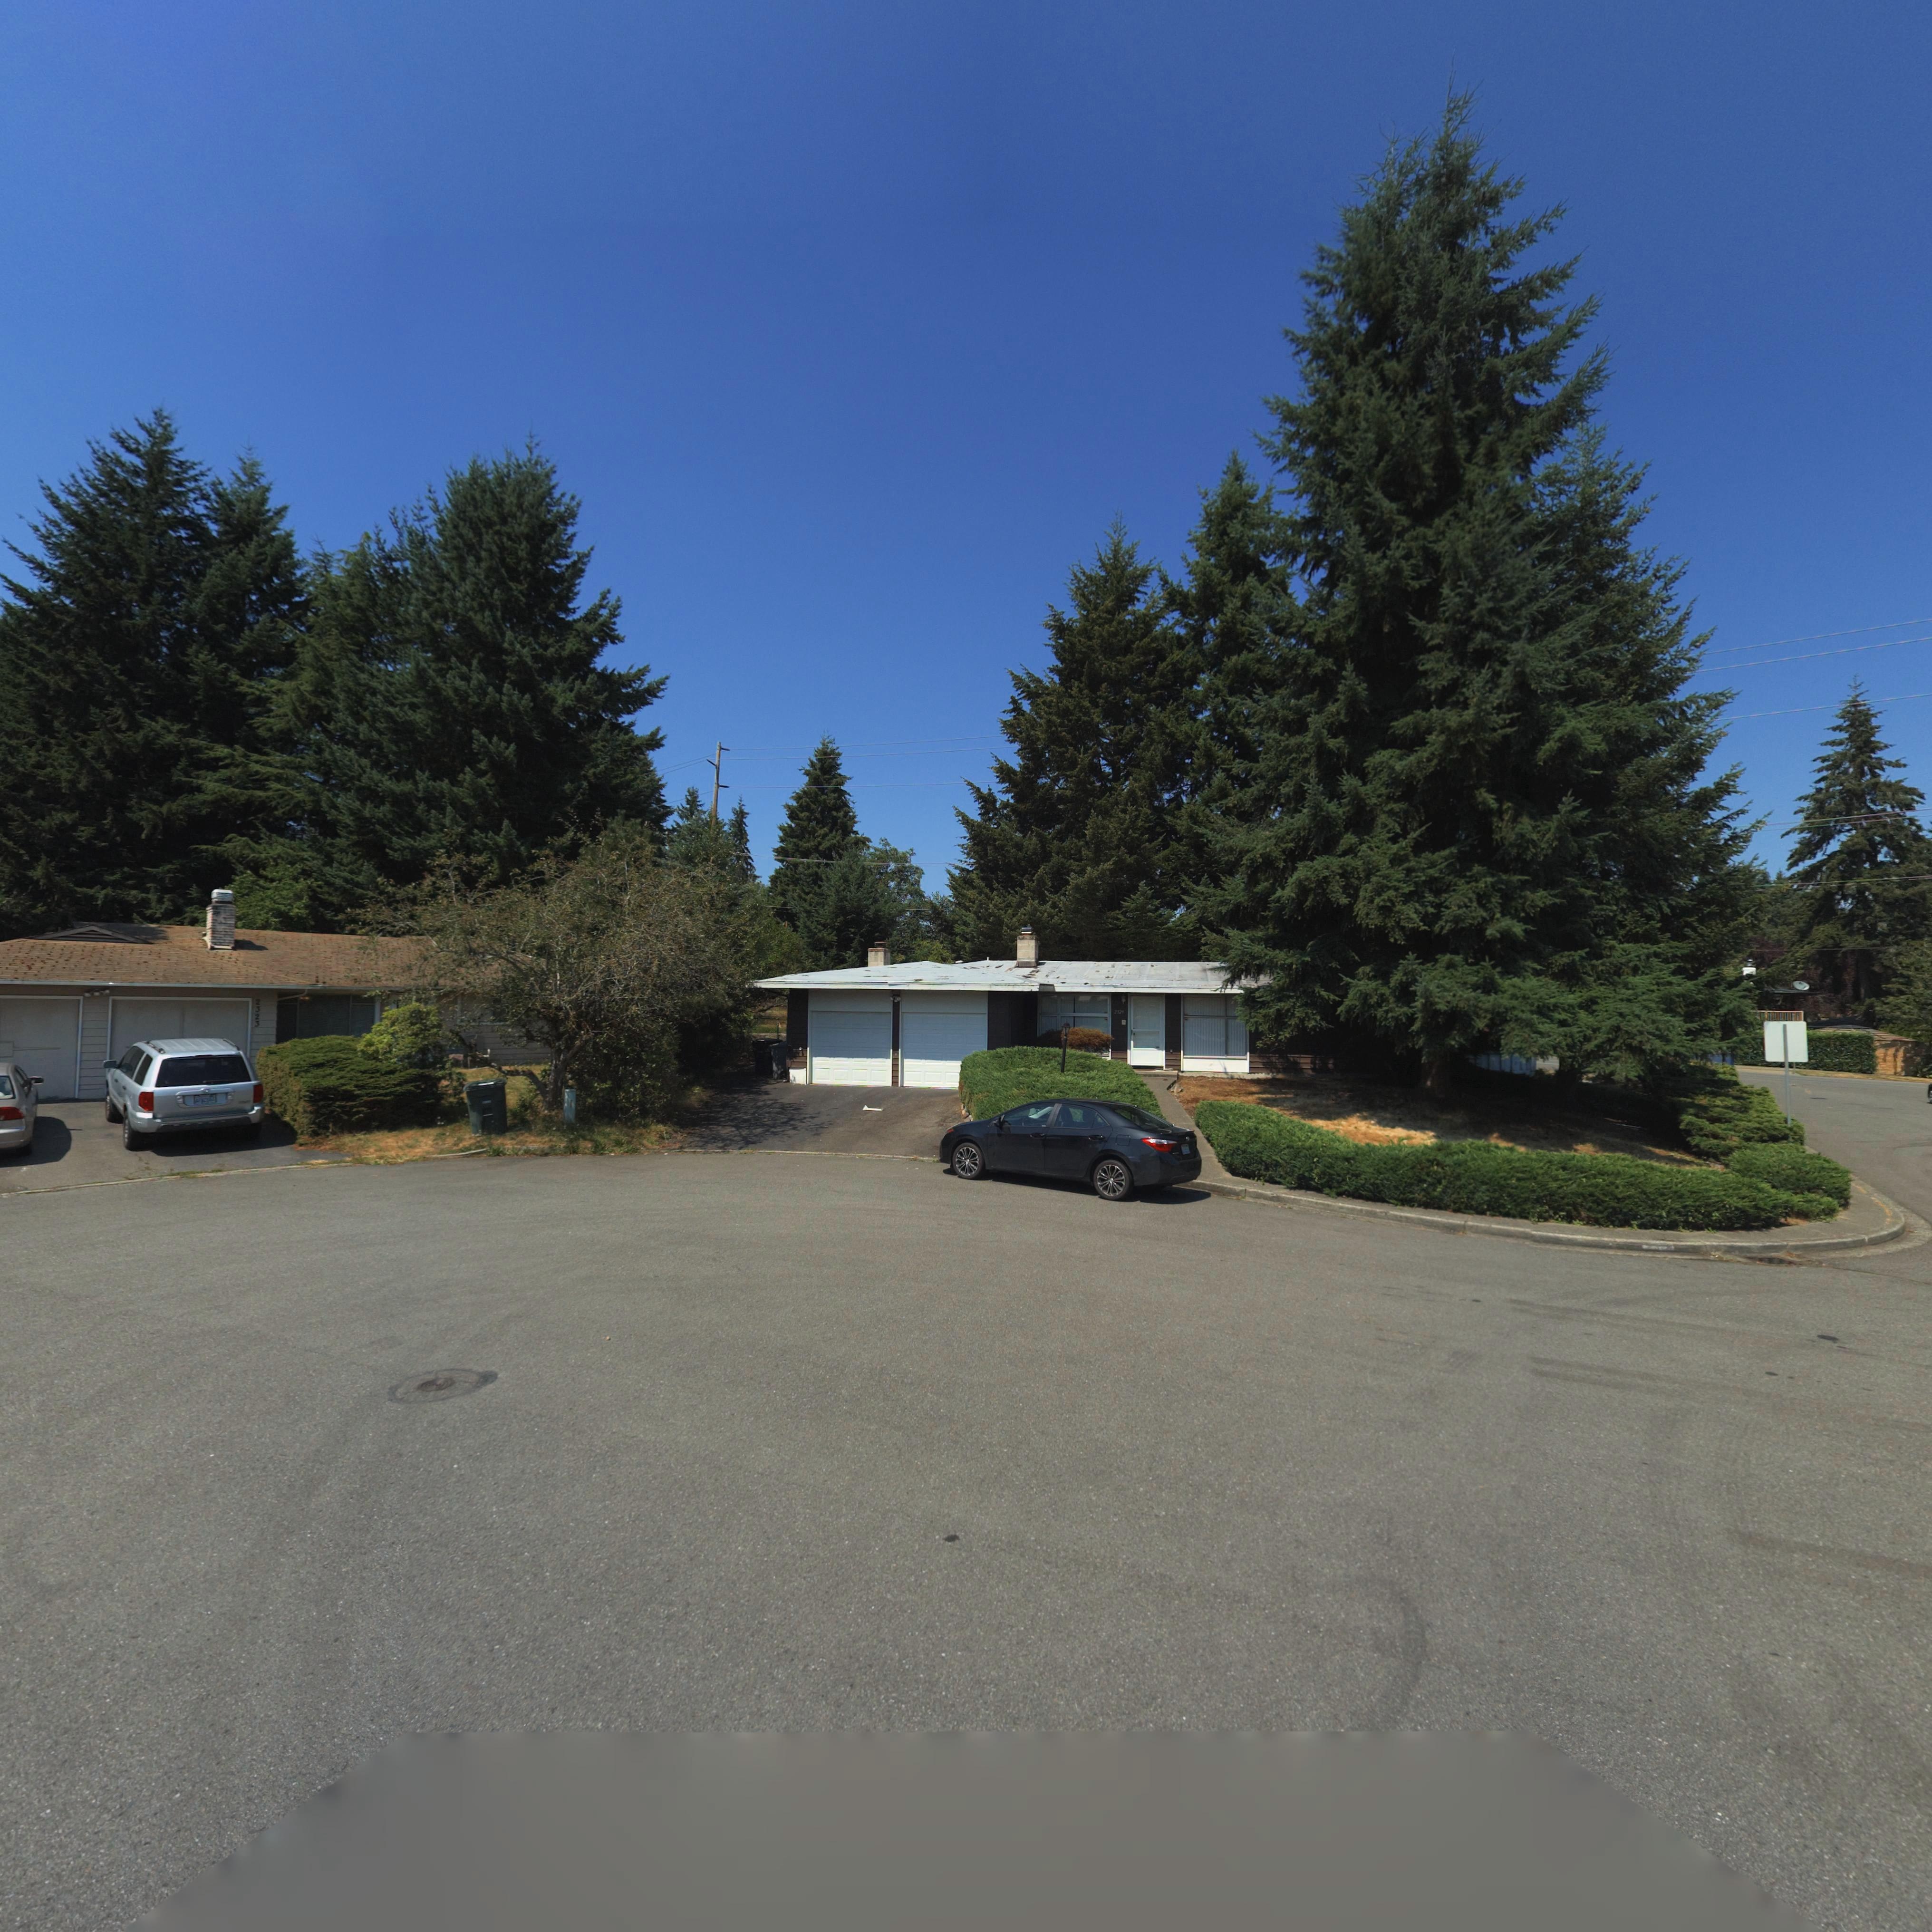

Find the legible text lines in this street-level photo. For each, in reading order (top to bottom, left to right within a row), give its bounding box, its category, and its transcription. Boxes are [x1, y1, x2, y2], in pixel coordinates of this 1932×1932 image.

[252, 998, 261, 1028] StreetNumber: 2323